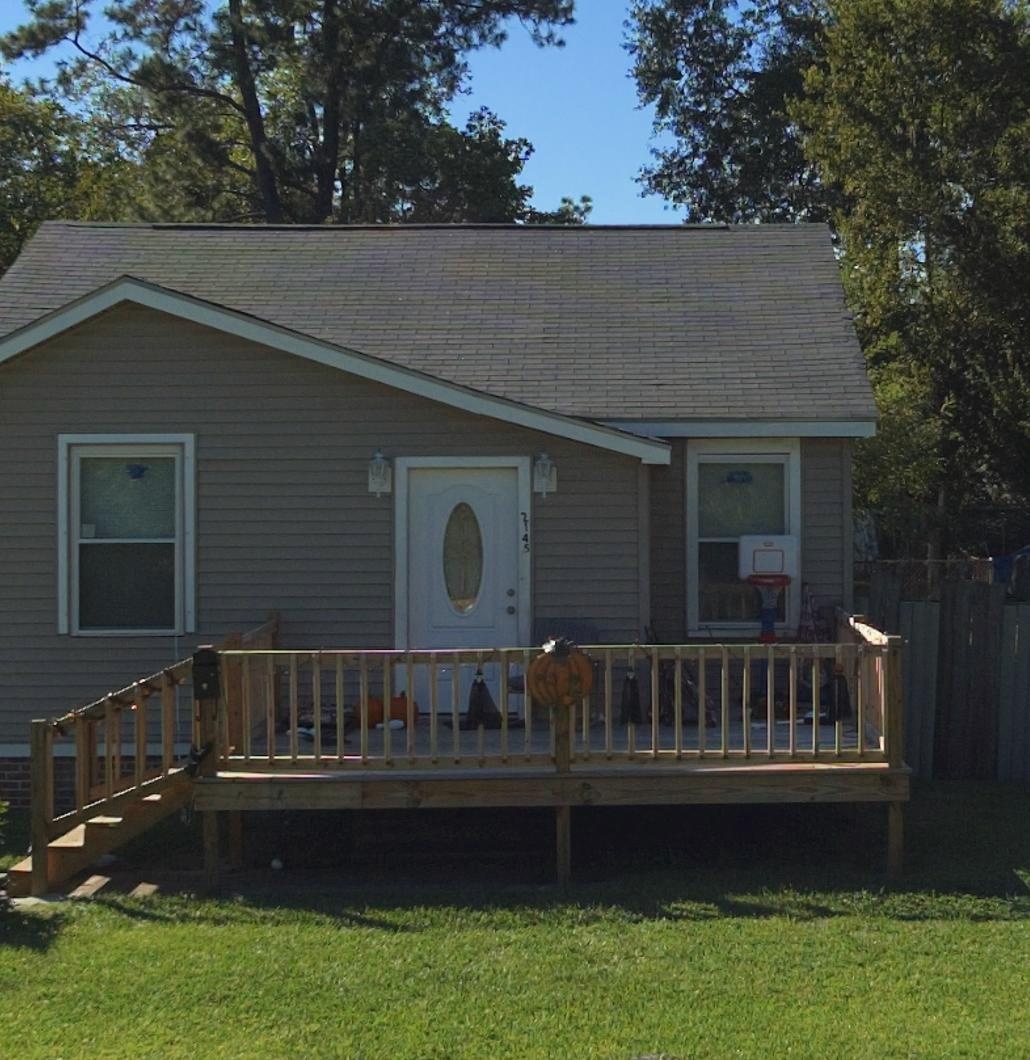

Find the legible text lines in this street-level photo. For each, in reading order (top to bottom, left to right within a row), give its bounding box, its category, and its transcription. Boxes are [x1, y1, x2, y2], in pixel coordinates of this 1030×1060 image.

[519, 510, 531, 554] StreetNumber: 2145